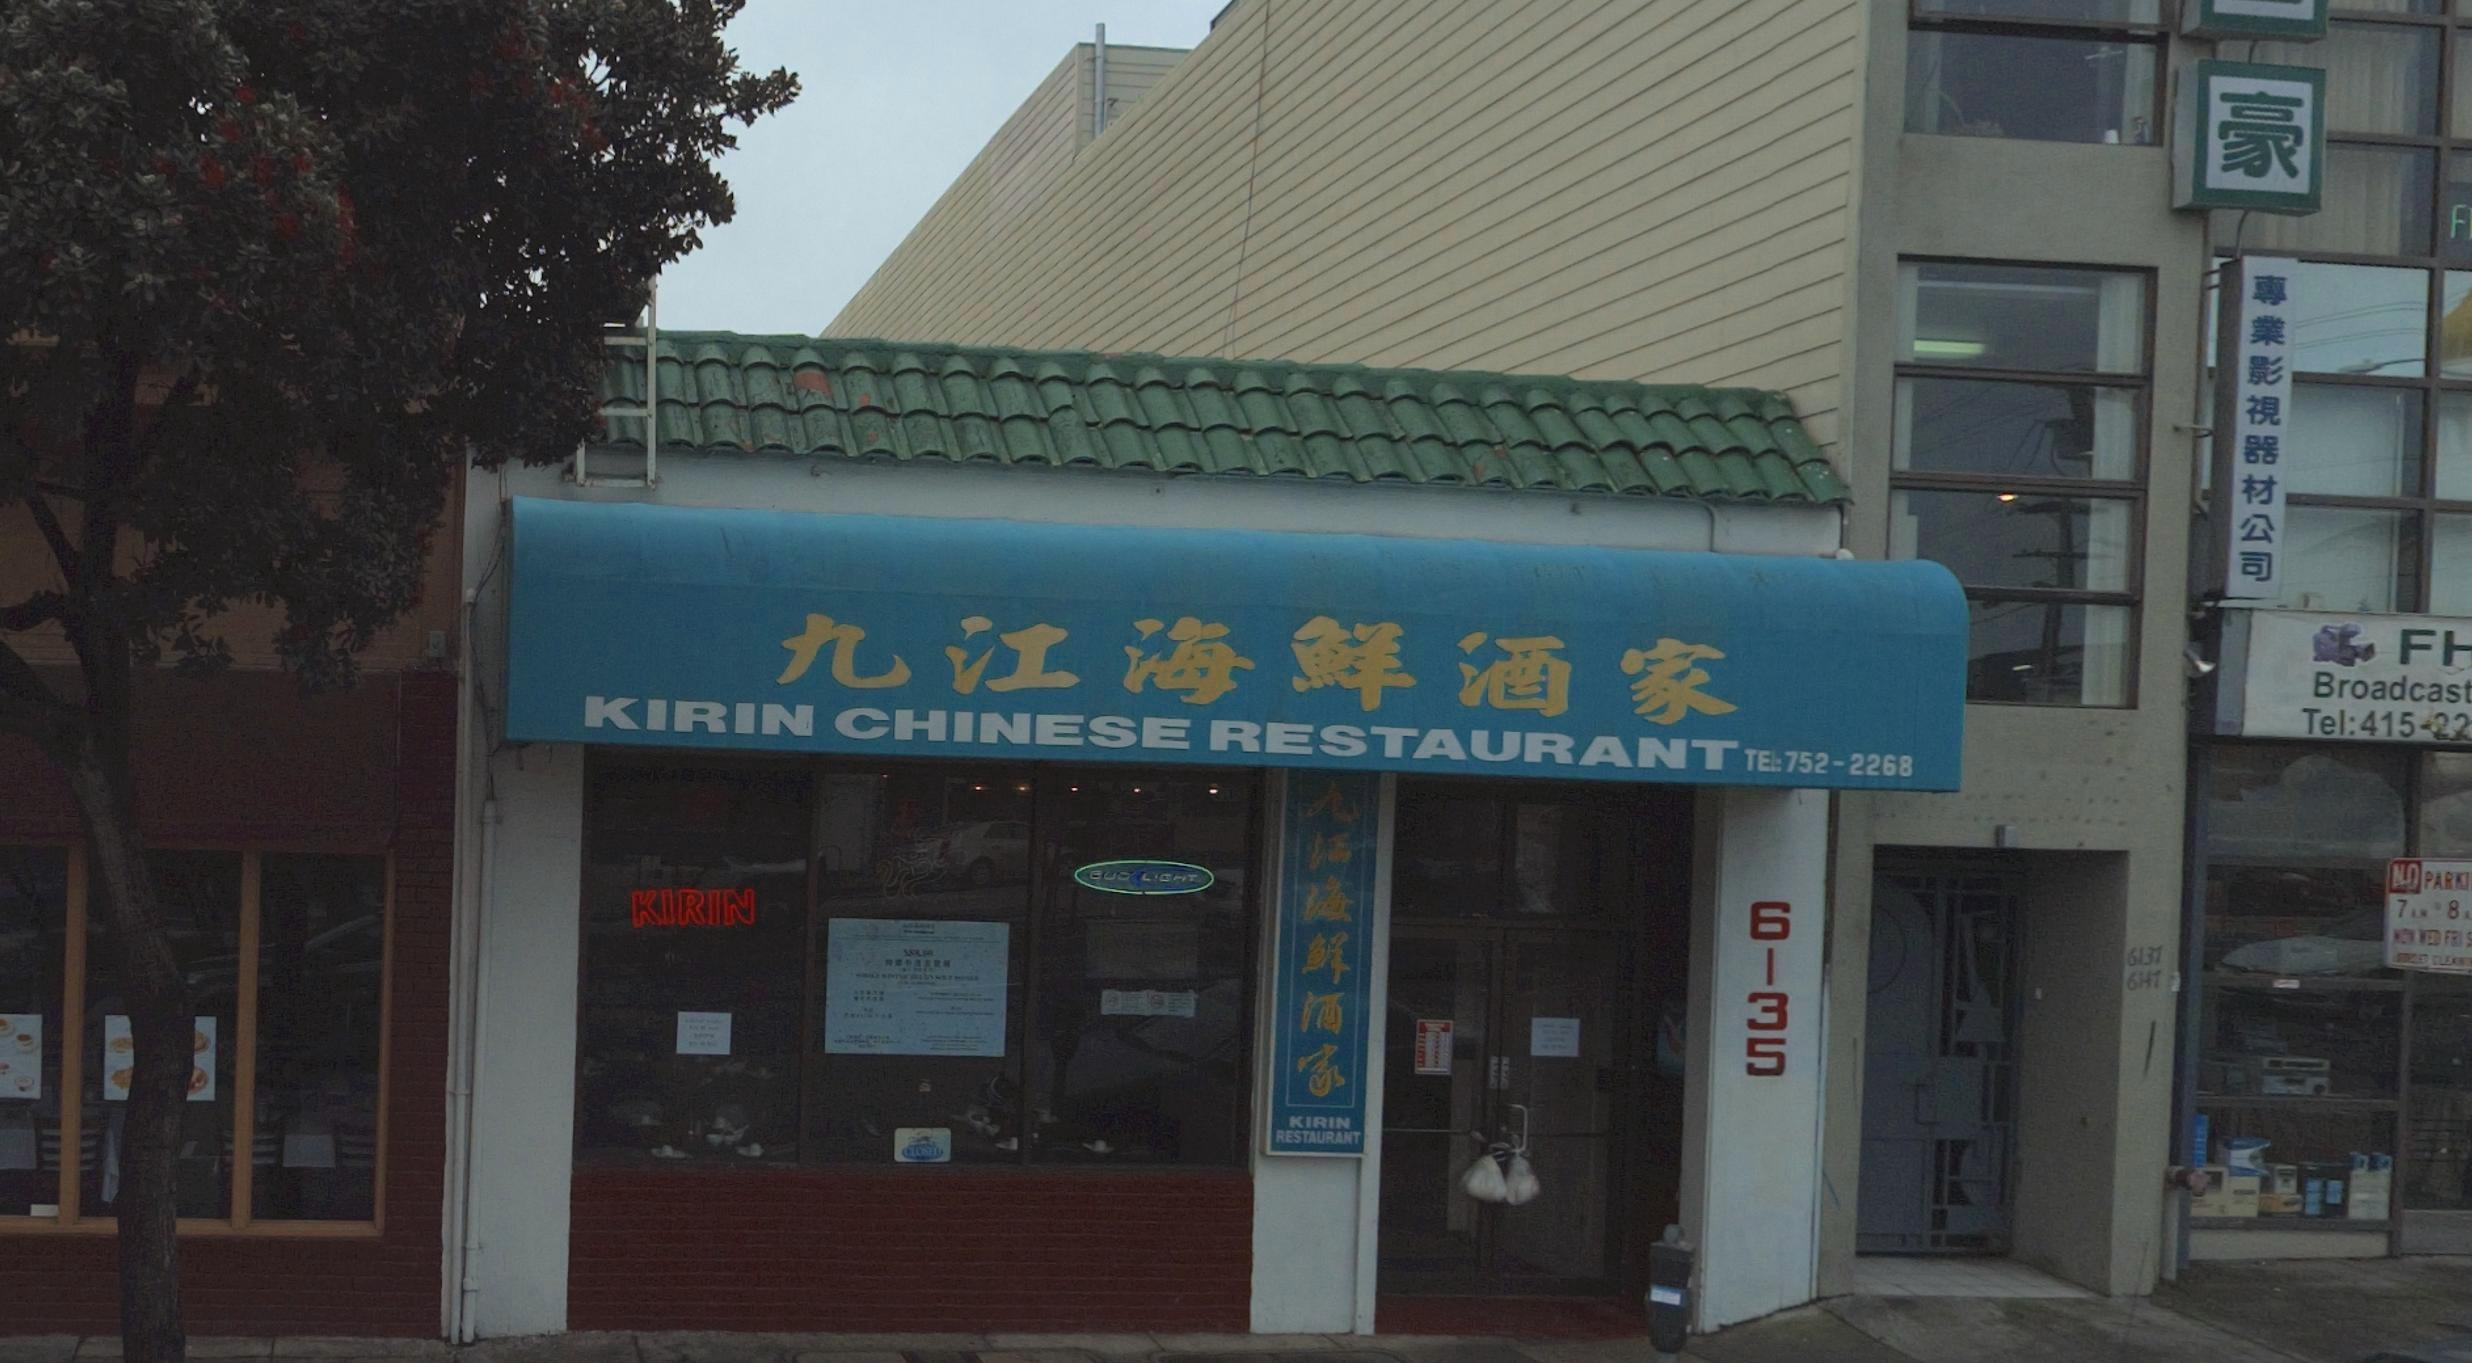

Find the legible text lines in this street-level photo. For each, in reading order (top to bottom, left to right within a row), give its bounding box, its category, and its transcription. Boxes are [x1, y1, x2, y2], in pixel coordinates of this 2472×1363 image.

[2445, 200, 2469, 245] BusinessName: F
[2395, 624, 2442, 674] BusinessName: F
[2308, 667, 2472, 707] None: Broadcast
[581, 689, 1742, 777] BusinessName: KIRIN CHINESE RESTAURANT
[2298, 705, 2472, 745] None: Tel:415-22
[1741, 745, 1916, 781] None: TE*:752-2268
[1085, 868, 1201, 885] None: BUD LIGHT
[2387, 860, 2468, 895] None: NO PARK
[629, 886, 756, 930] None: KIRIN
[2386, 897, 2472, 926] None: RAM ** 8A
[2122, 938, 2171, 969] StreetNumber: 6137
[2385, 924, 2465, 951] None: MON WED FRI
[1741, 893, 1796, 1082] StreetNumber: 6135
[2123, 966, 2164, 993] StreetNumber: 6147
[901, 1145, 943, 1159] None: CLOSED
[1284, 1114, 1352, 1134] None: KIRIN
[1271, 1128, 1367, 1150] None: RESTAURANT